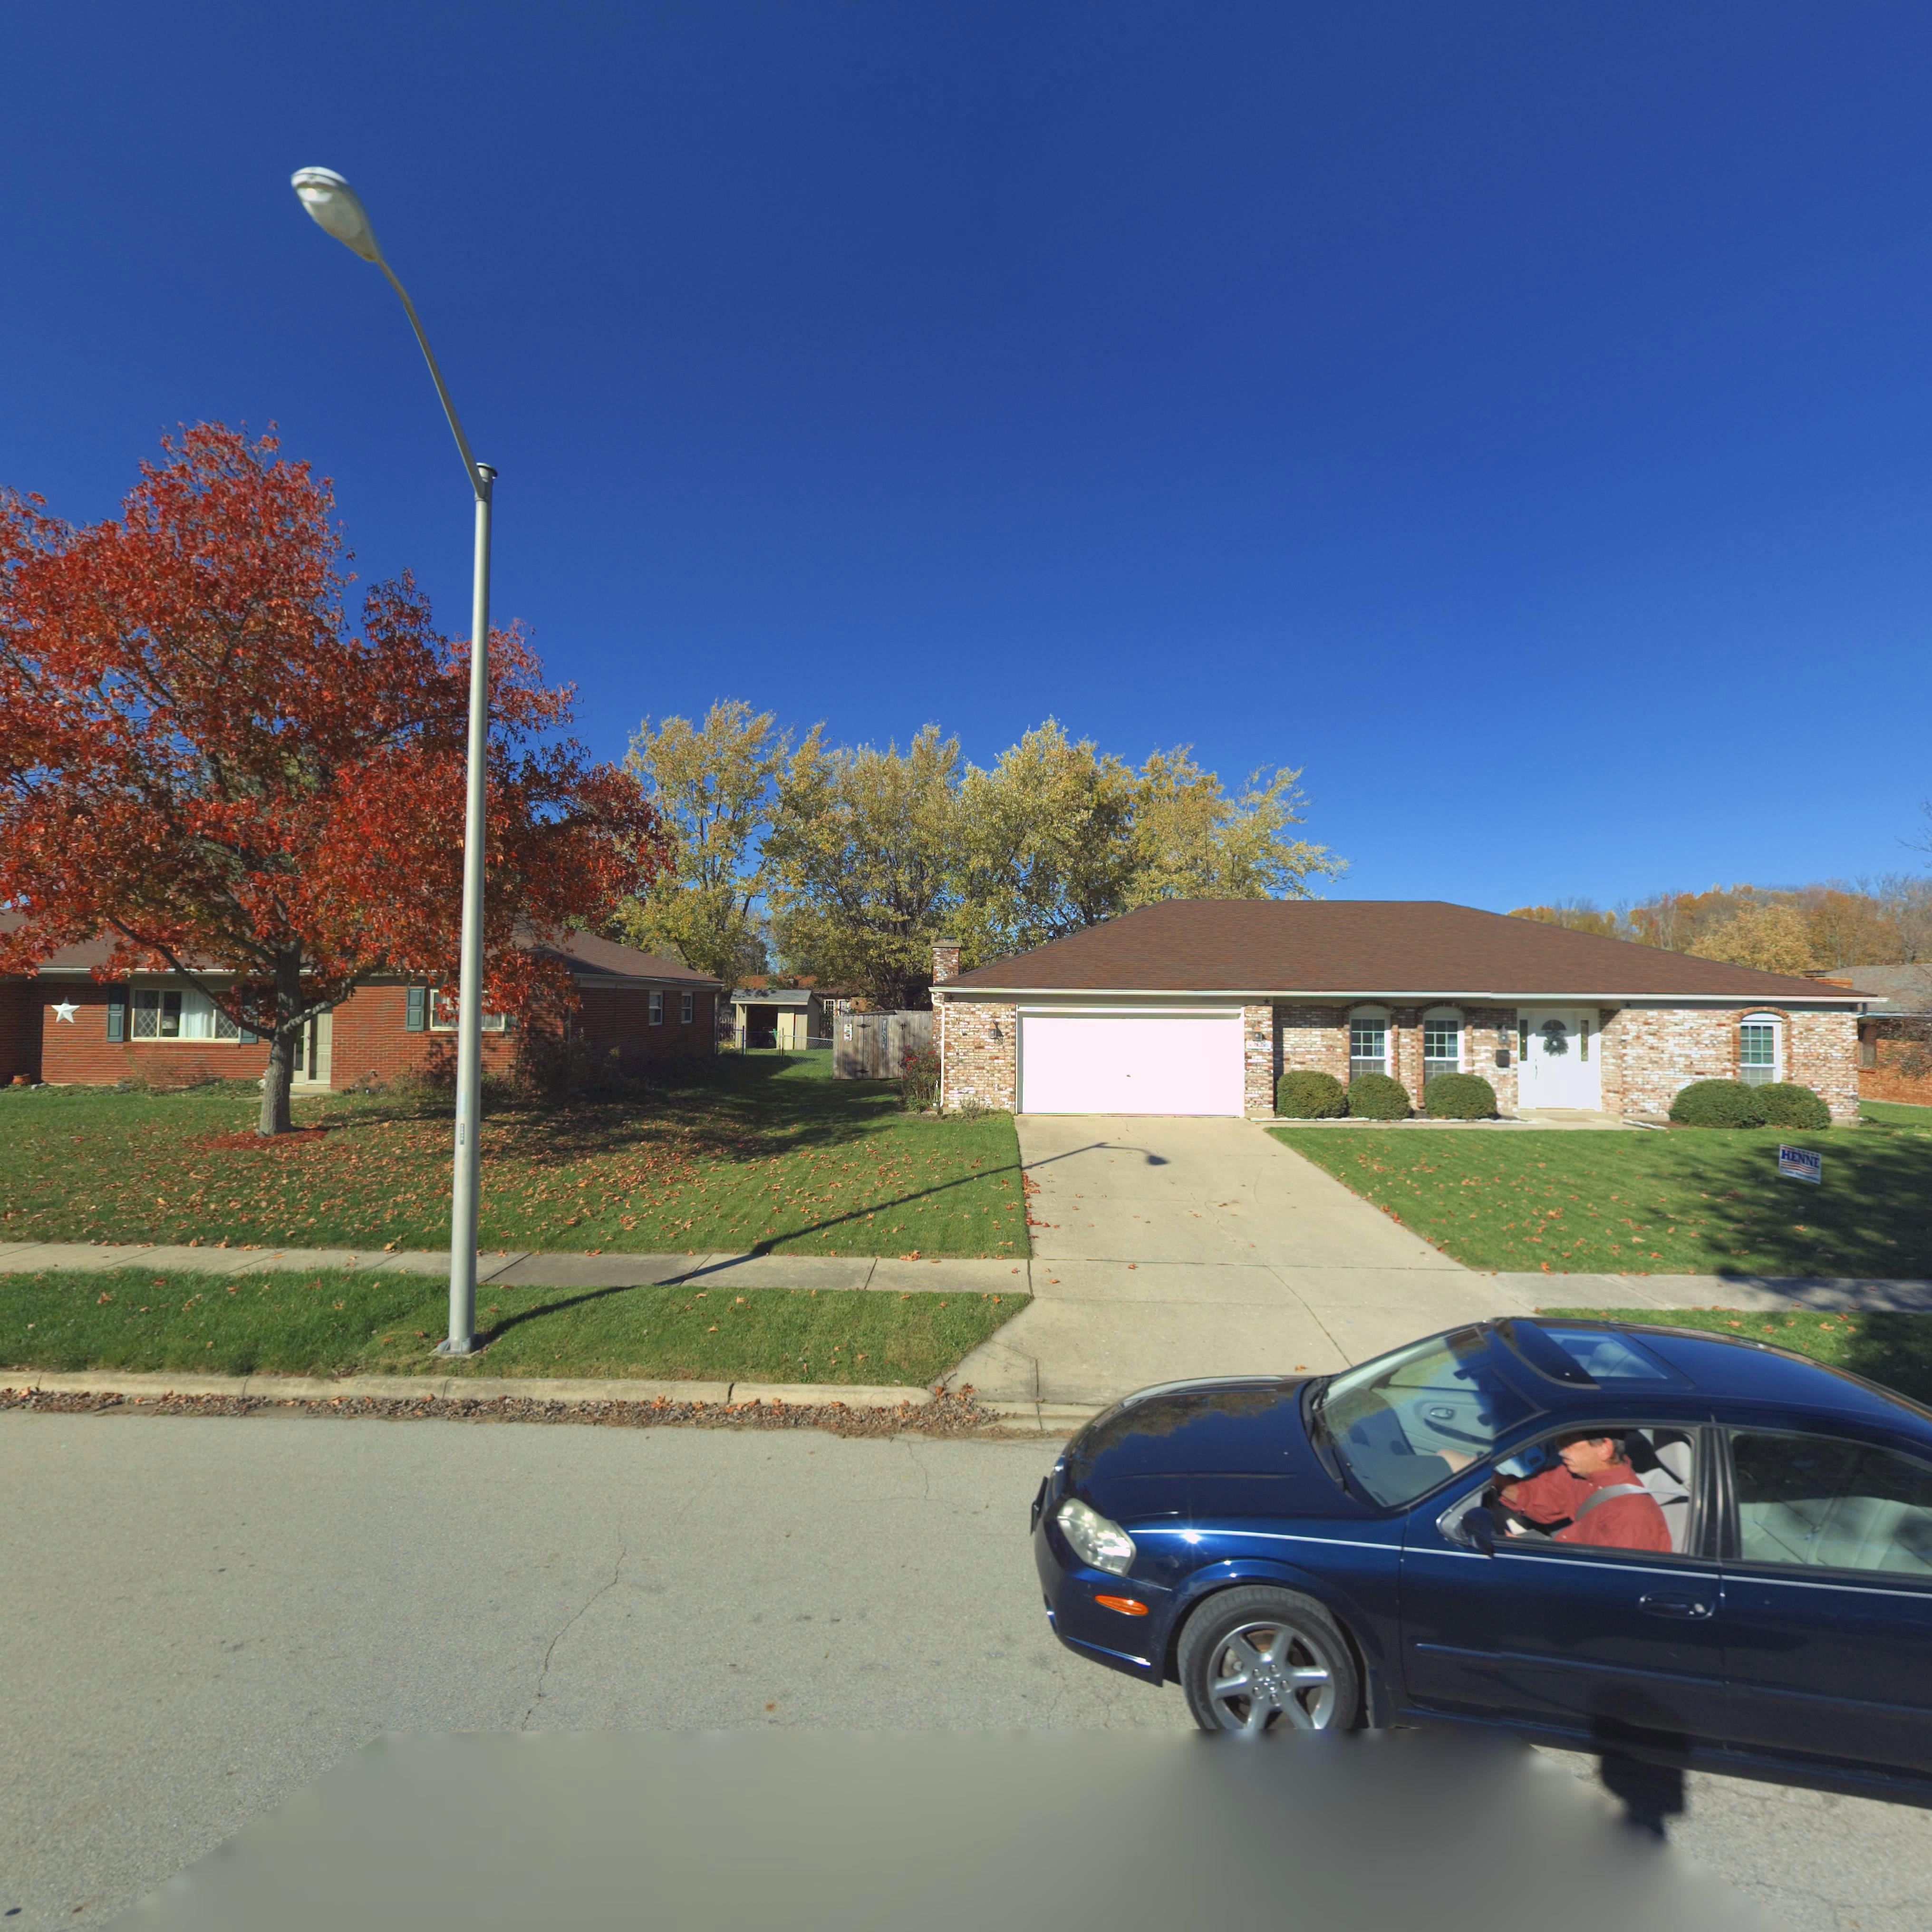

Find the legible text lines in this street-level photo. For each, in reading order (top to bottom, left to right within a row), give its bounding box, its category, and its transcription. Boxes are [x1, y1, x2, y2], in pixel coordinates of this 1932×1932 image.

[1247, 1042, 1269, 1047] StreetNumber: *0*5